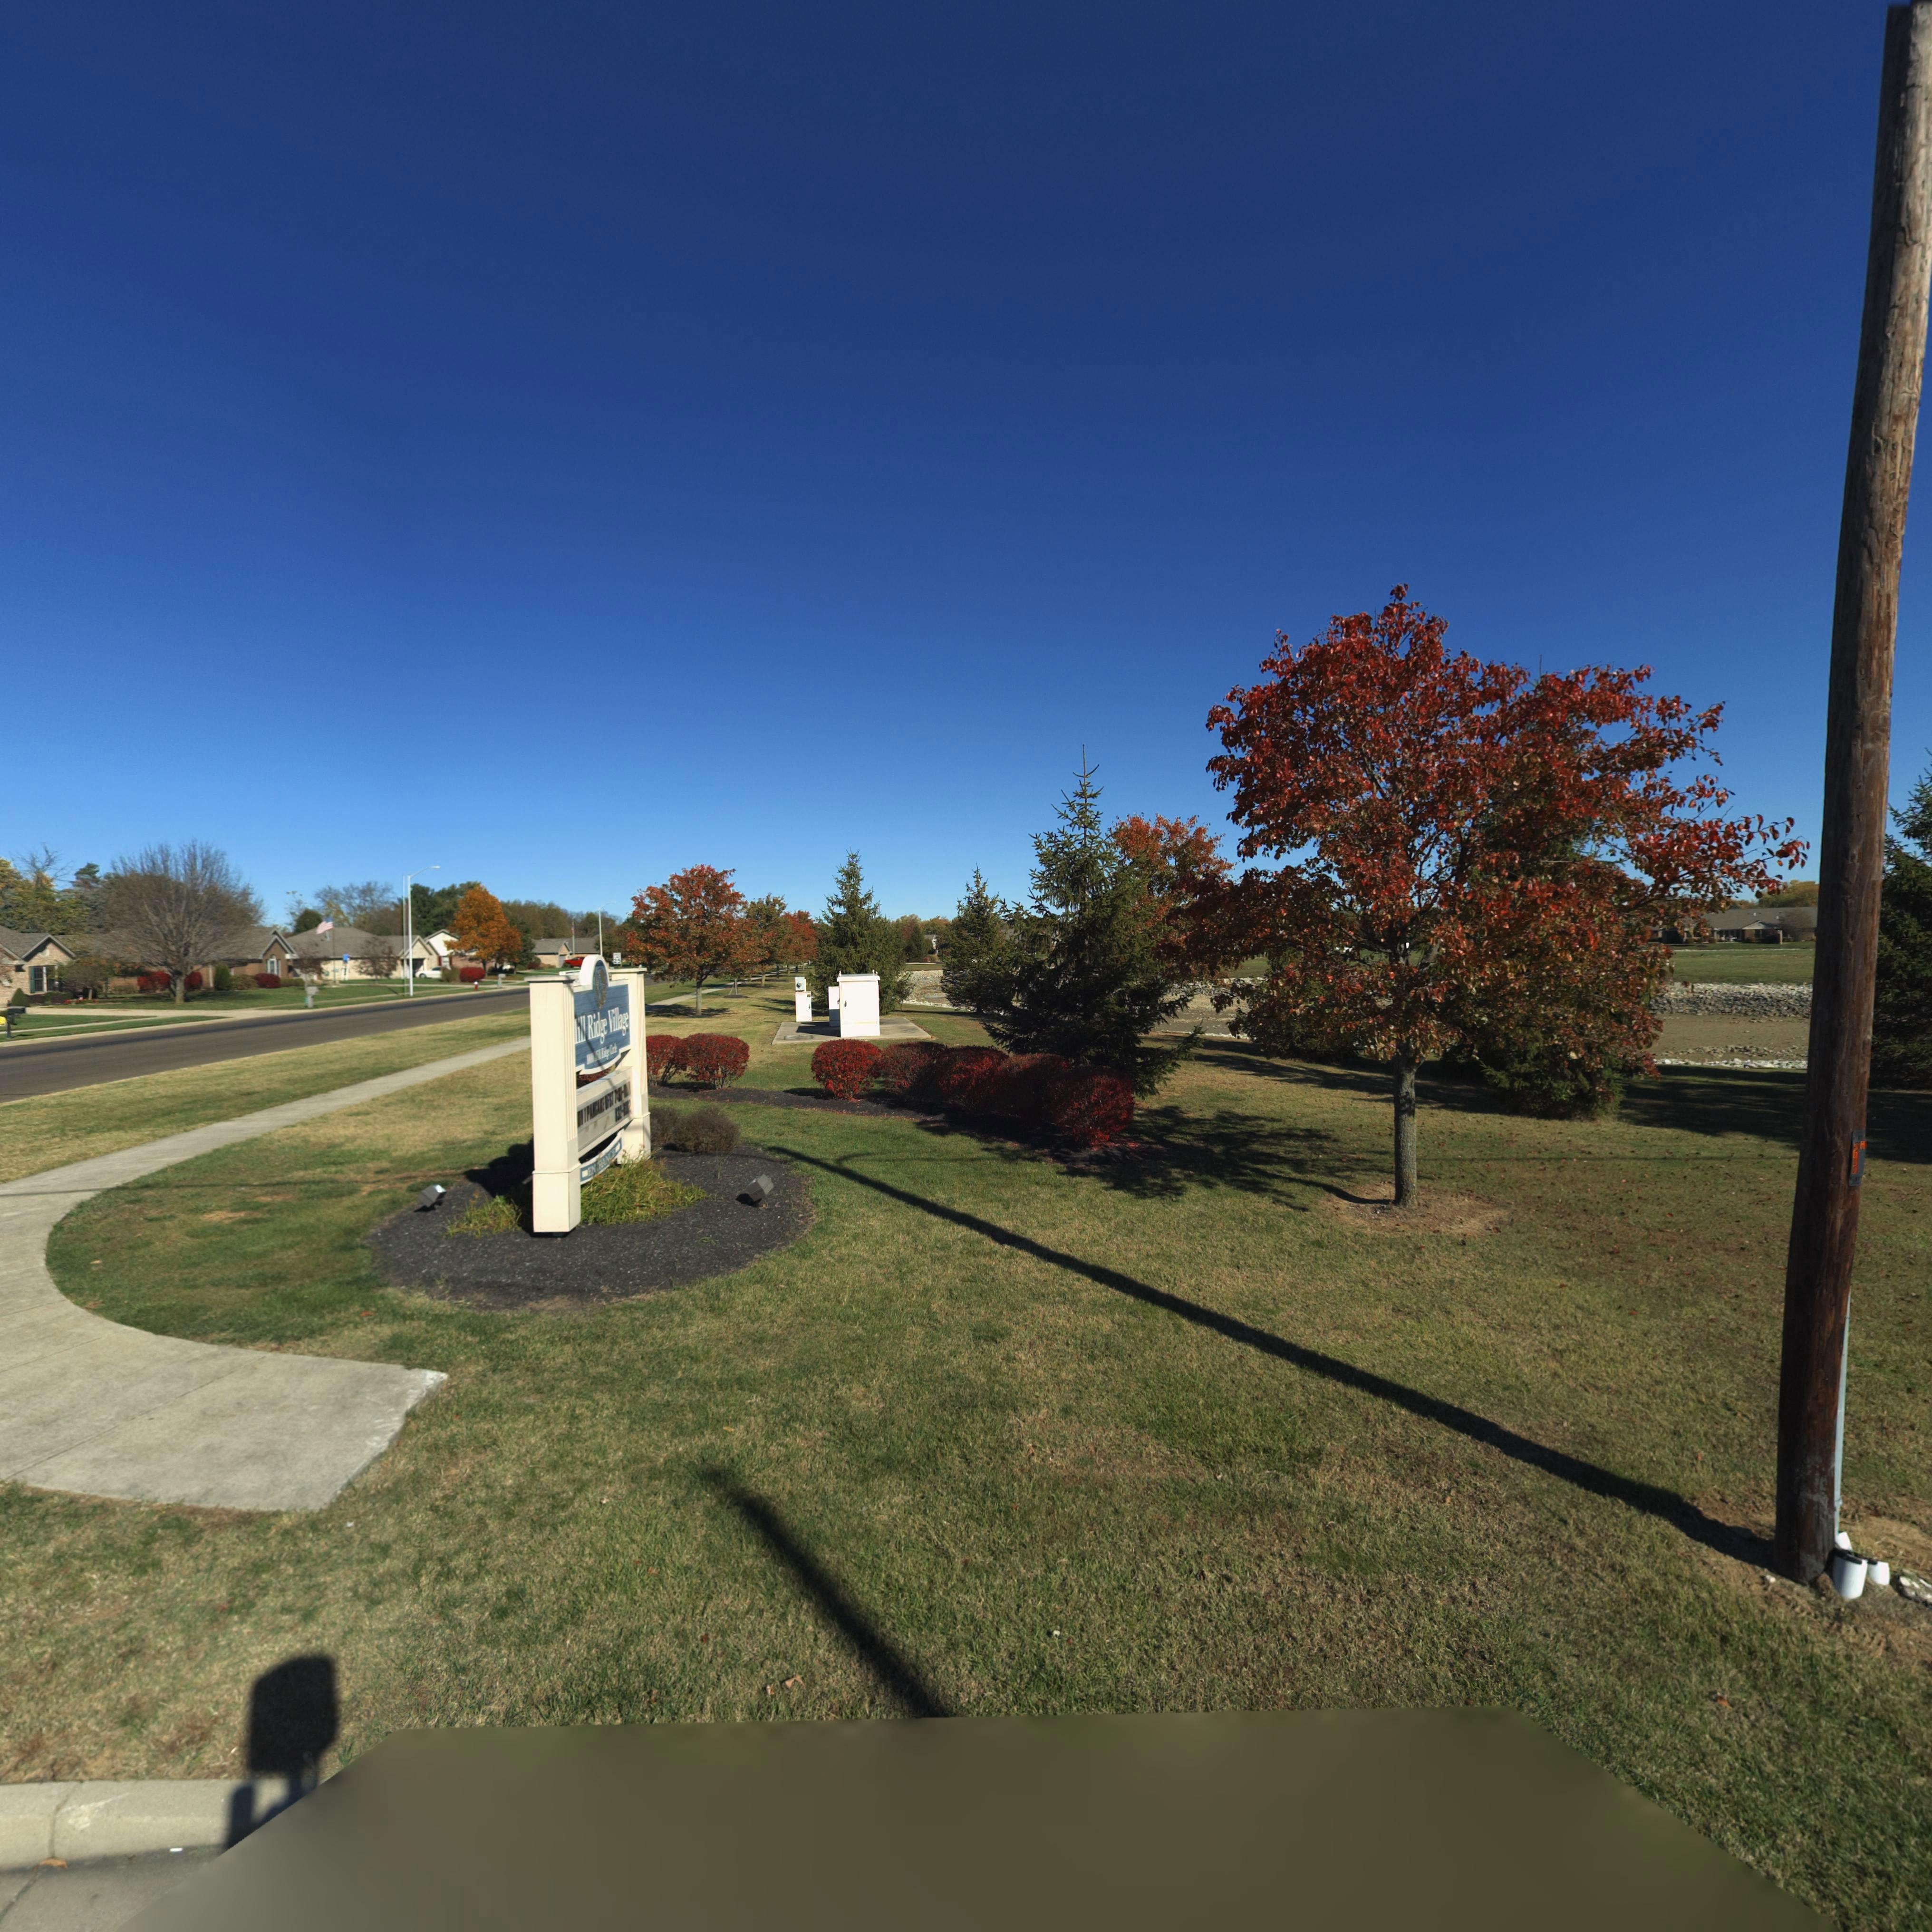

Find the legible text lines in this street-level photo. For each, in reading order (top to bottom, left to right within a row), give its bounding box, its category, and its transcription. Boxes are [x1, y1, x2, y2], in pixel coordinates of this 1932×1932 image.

[571, 1005, 631, 1047] None: ill Ridge Village
[586, 1052, 595, 1066] StreetNumber: 1***